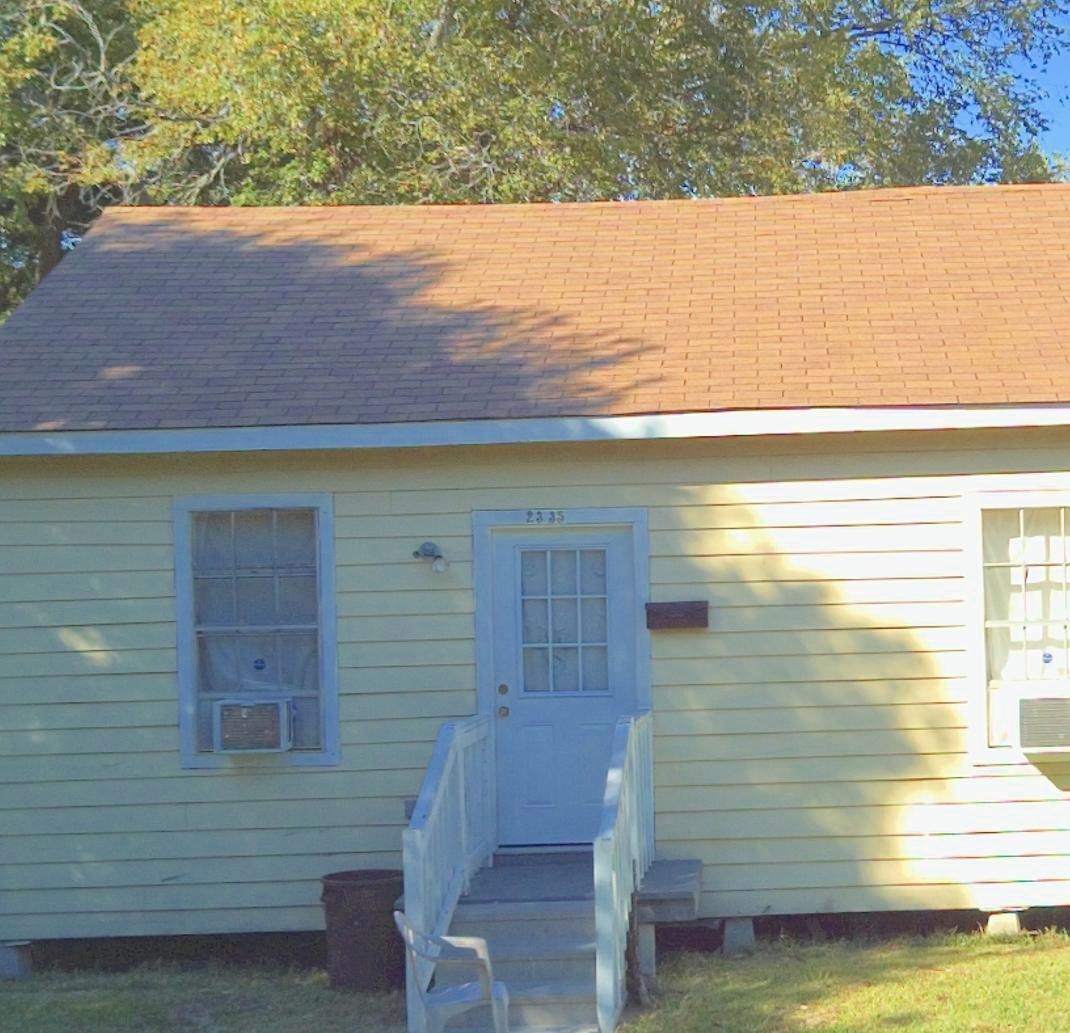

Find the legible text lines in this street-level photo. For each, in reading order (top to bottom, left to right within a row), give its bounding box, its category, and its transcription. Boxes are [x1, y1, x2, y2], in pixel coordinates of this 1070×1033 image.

[524, 509, 566, 525] StreetNumber: 2335